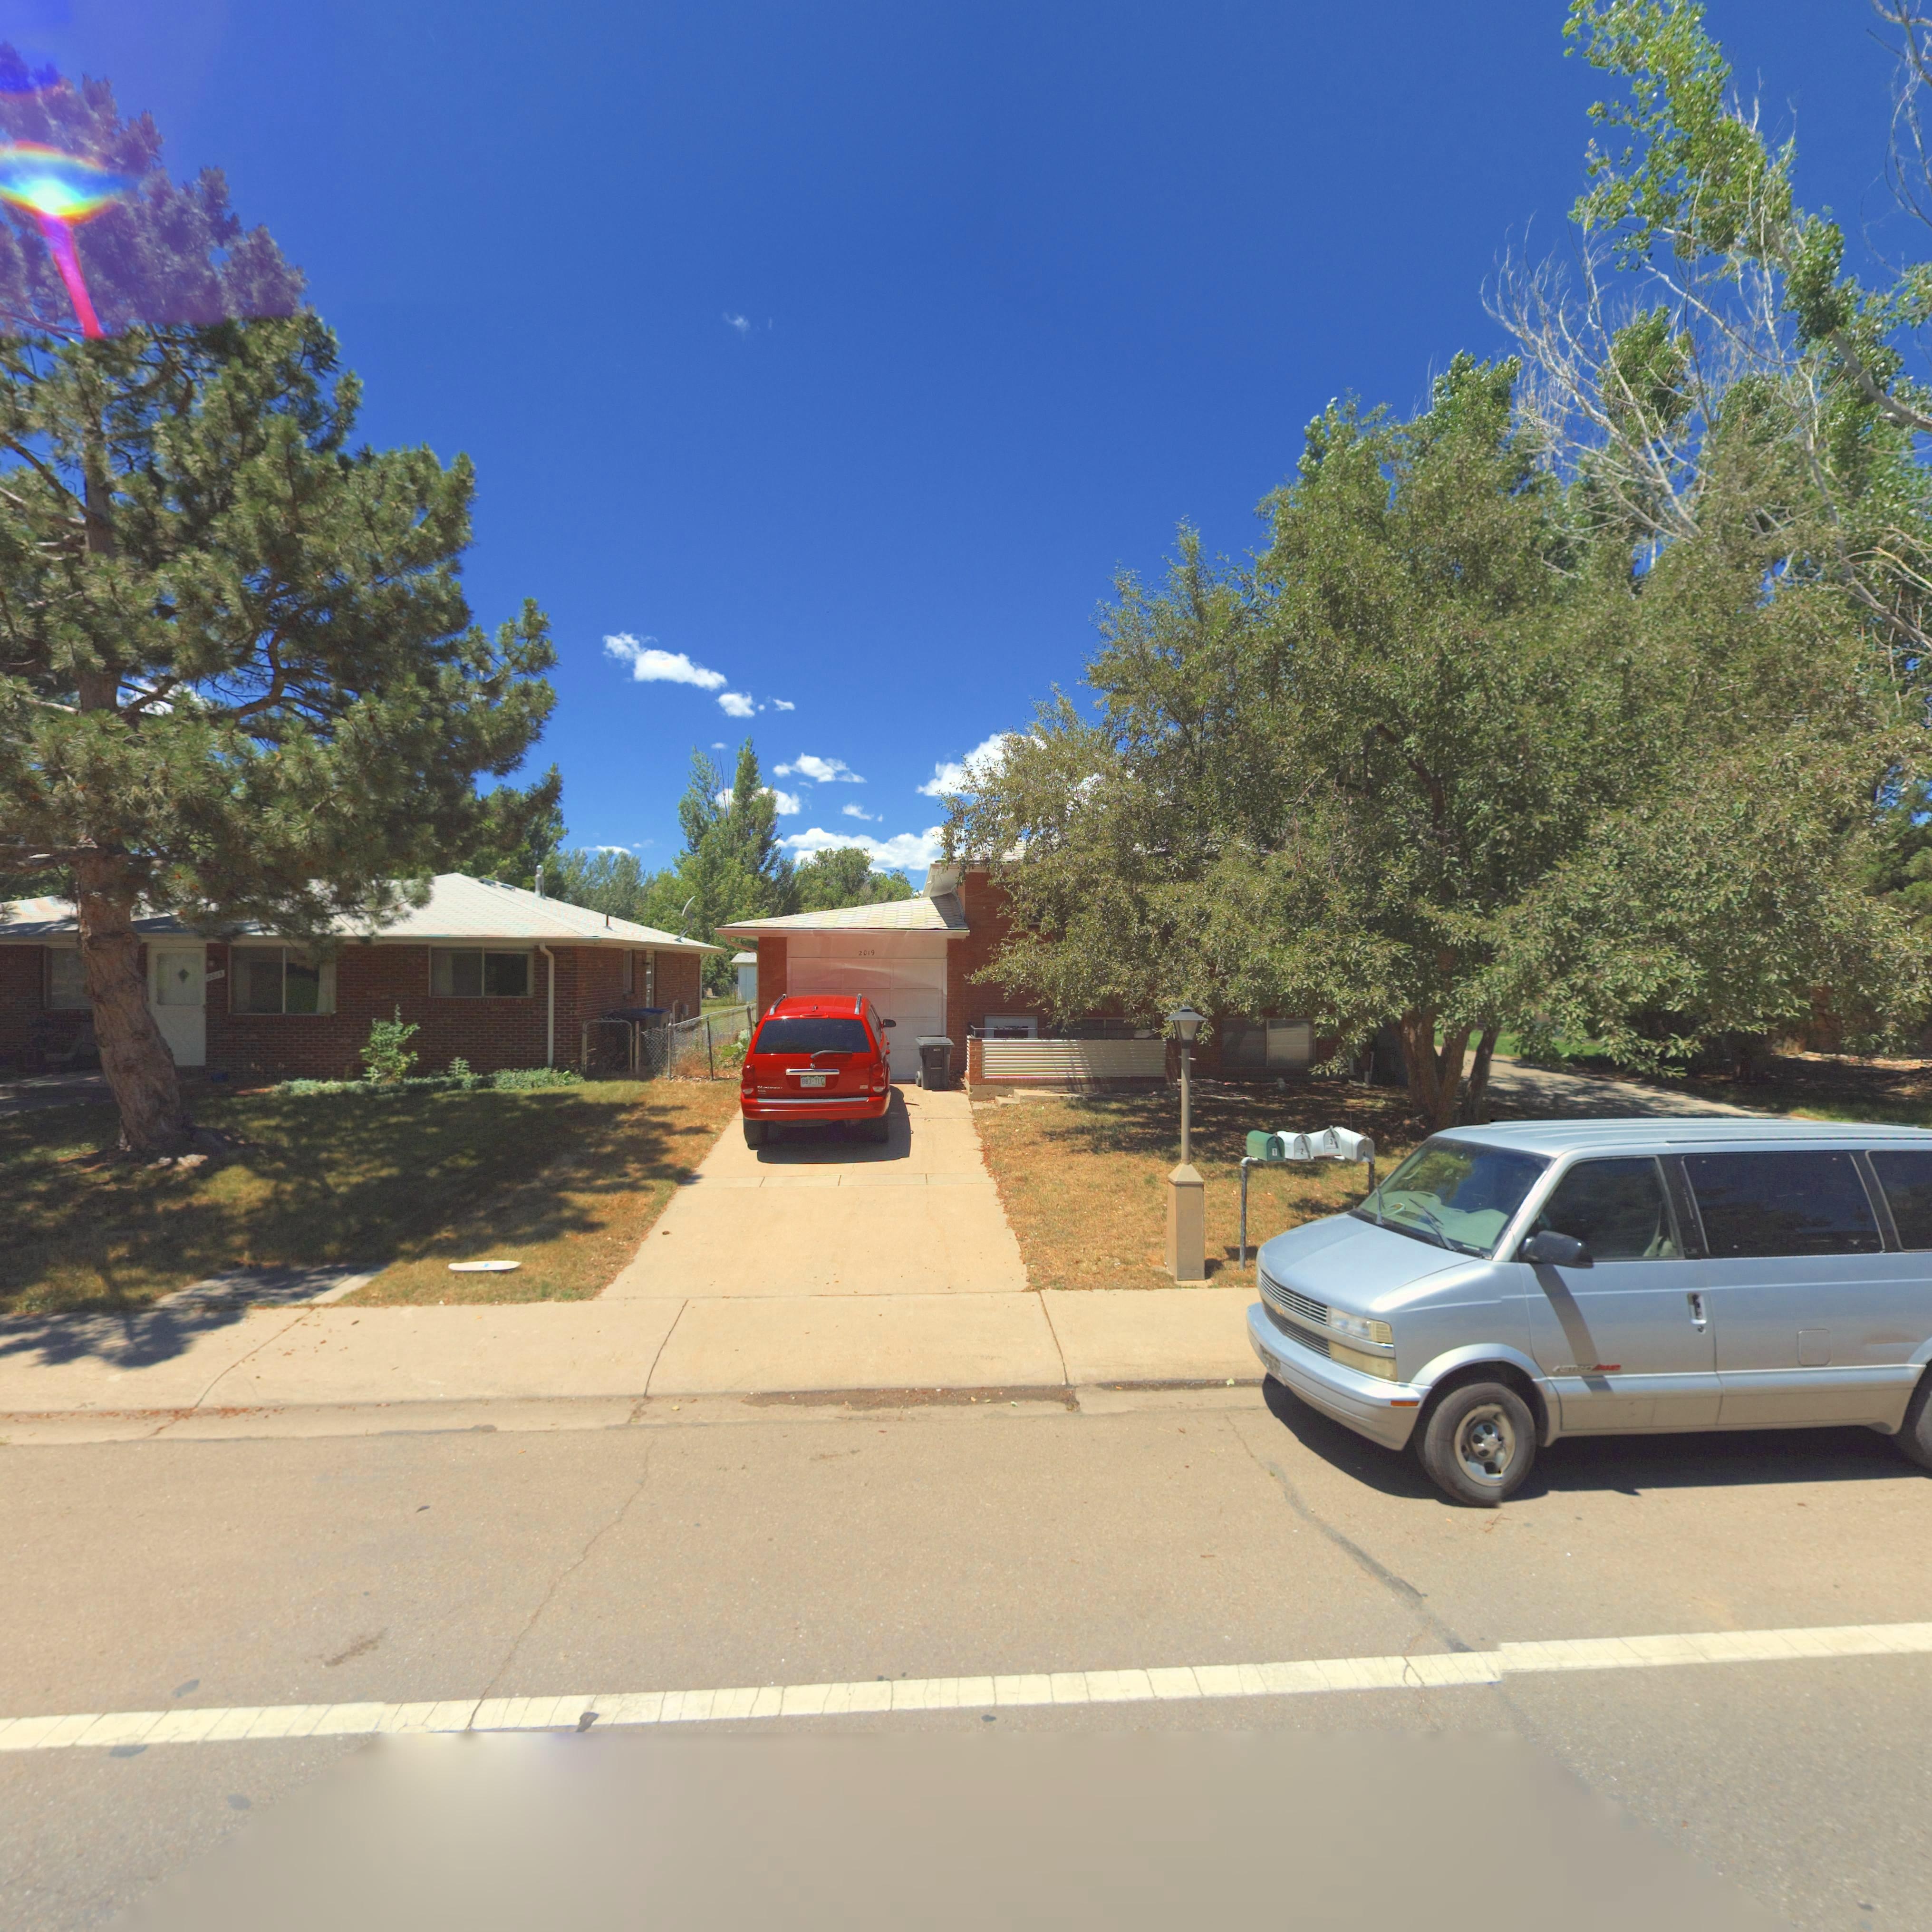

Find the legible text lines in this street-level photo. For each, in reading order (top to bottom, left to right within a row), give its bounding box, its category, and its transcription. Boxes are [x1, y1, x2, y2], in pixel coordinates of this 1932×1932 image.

[857, 949, 875, 956] StreetNumber: 2019
[206, 969, 223, 981] StreetNumber: 2015
[1328, 1138, 1333, 1145] StreetNumber: 3
[1272, 1149, 1276, 1155] StreetNumber: 1
[1300, 1148, 1304, 1155] StreetNumber: 2
[1362, 1150, 1366, 1157] StreetNumber: 4